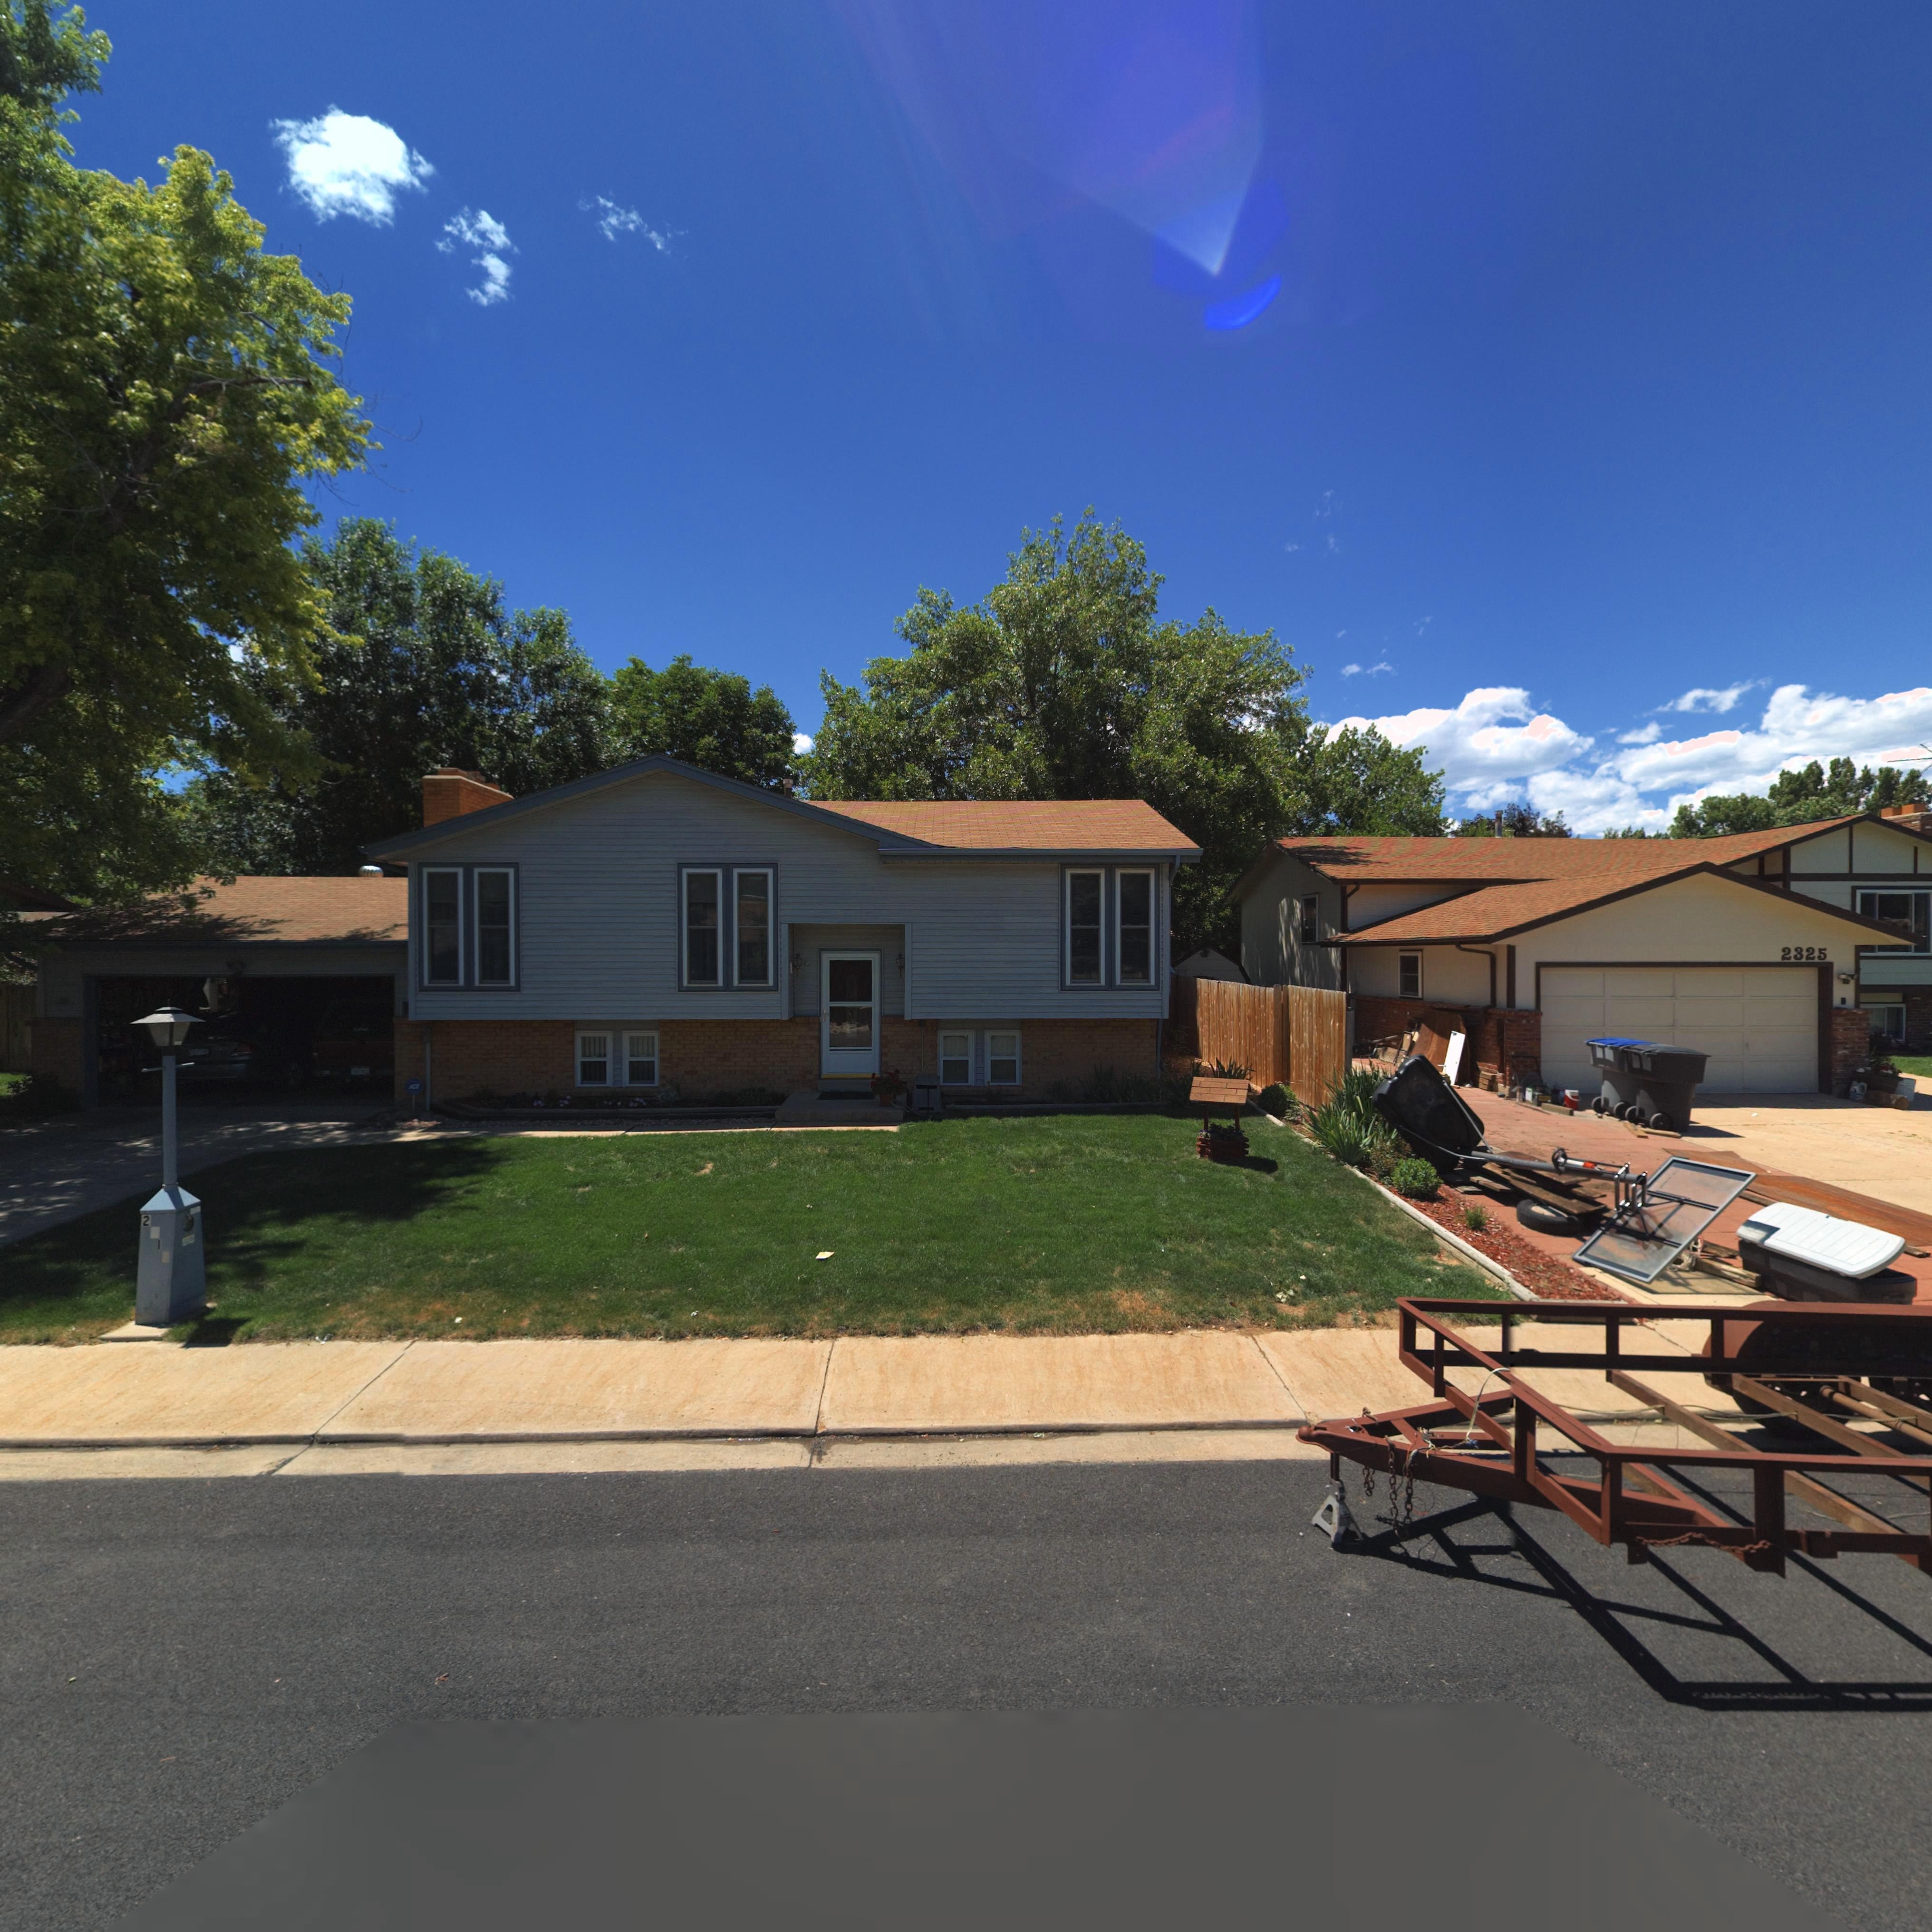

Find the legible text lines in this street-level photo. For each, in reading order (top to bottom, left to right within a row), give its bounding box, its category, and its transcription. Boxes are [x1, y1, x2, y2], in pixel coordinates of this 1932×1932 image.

[1780, 946, 1827, 961] StreetNumber: 2325